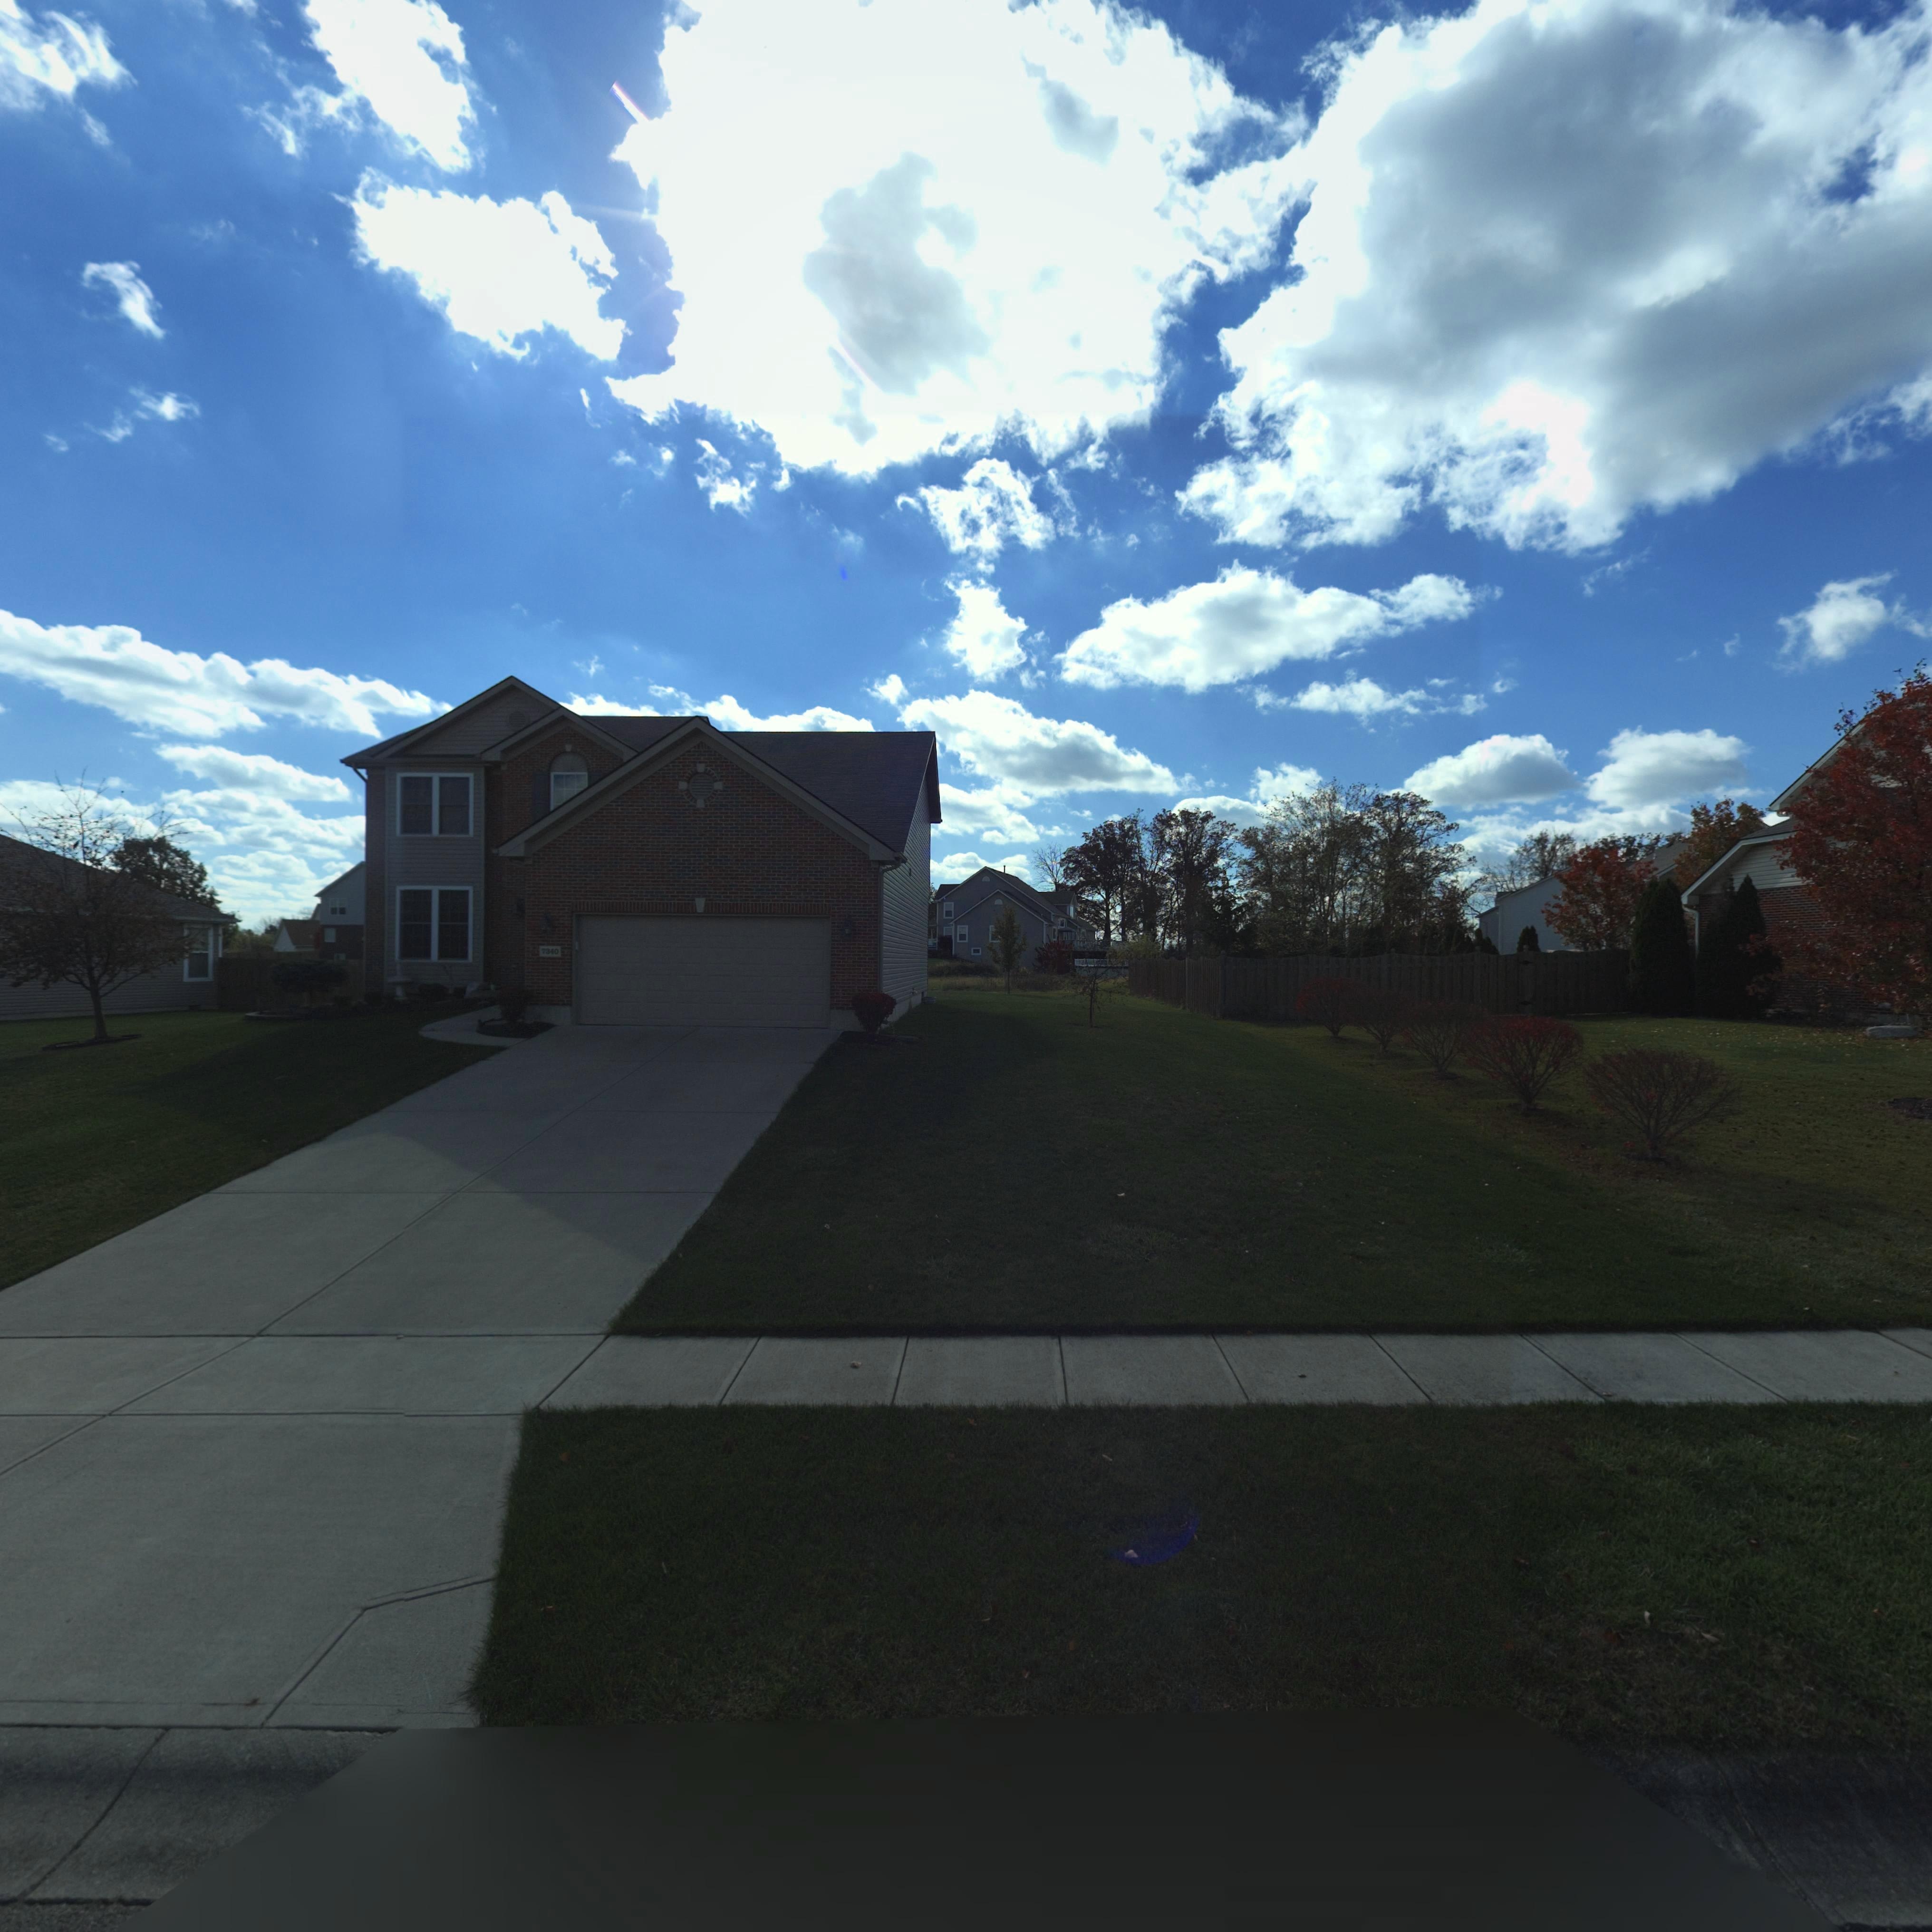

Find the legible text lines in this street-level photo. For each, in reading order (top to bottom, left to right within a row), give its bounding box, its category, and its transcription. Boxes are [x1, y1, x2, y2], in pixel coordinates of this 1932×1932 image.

[541, 947, 560, 955] StreetNumber: 7340